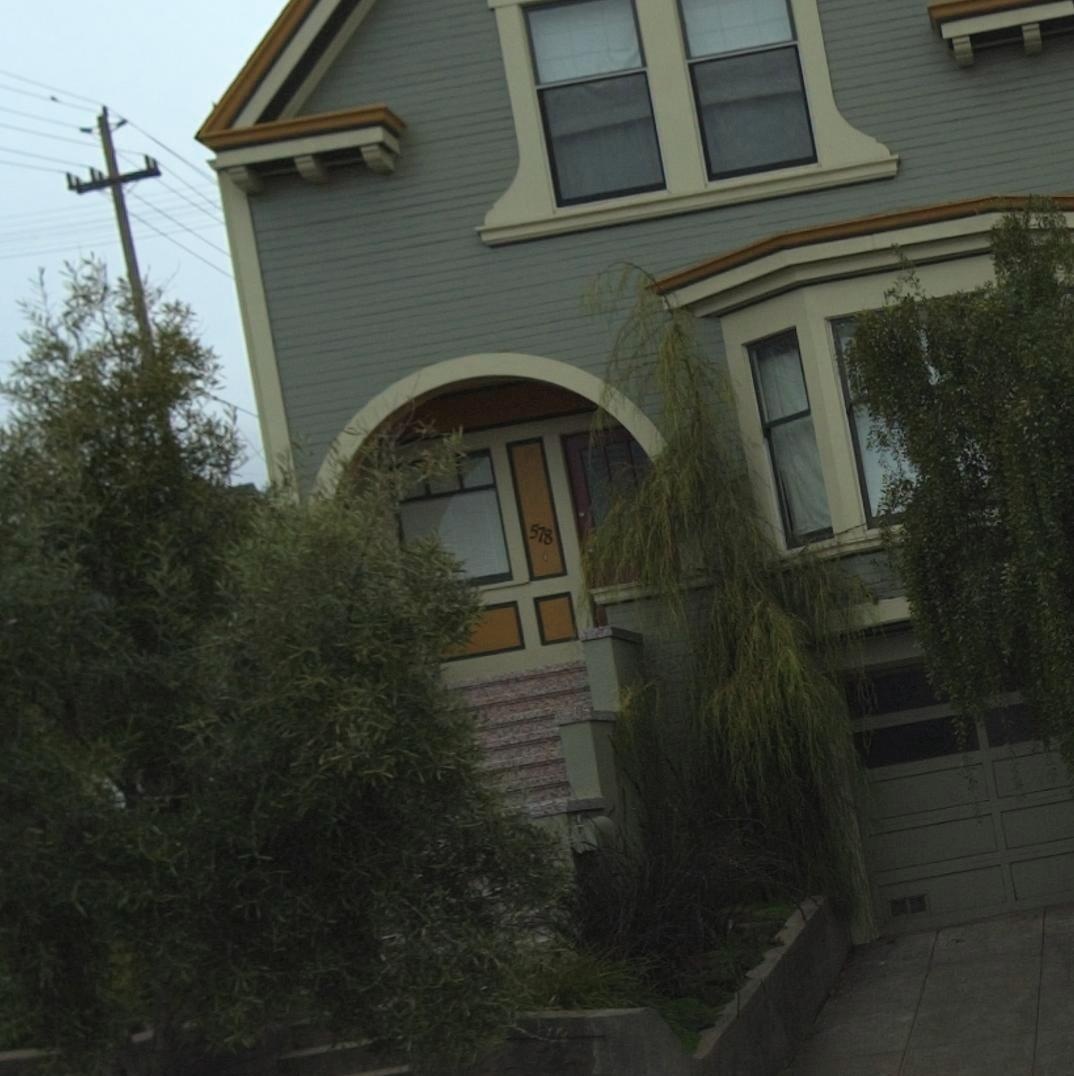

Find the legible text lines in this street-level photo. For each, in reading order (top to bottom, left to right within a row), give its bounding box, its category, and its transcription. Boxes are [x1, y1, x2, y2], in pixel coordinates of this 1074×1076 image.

[527, 521, 556, 549] StreetNumber: 578